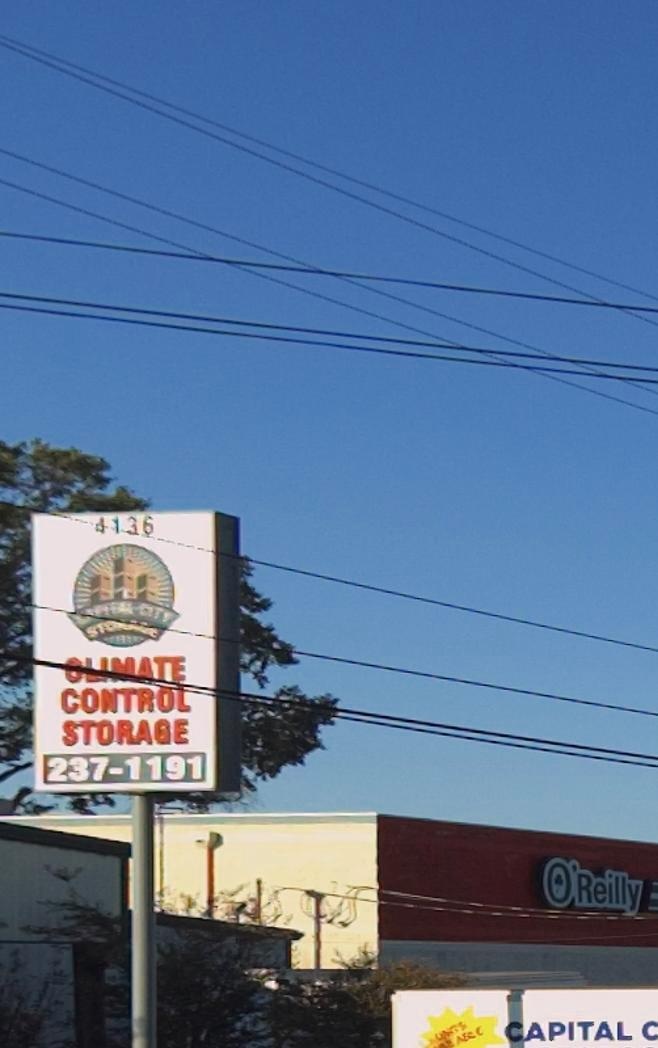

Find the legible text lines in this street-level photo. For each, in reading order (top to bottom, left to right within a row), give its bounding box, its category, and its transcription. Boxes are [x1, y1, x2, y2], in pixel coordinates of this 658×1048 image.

[91, 513, 156, 537] StreetNumber: 4136
[81, 615, 120, 644] BusinessName: STO
[133, 599, 179, 630] BusinessName: CITY
[60, 655, 190, 686] None: CLIMATE
[58, 683, 194, 717] None: CONTROL
[59, 716, 195, 749] None: STORAGE
[44, 754, 204, 782] None: 237-1191
[538, 853, 647, 918] BusinessName: O'Reilly
[500, 1018, 634, 1045] None: C